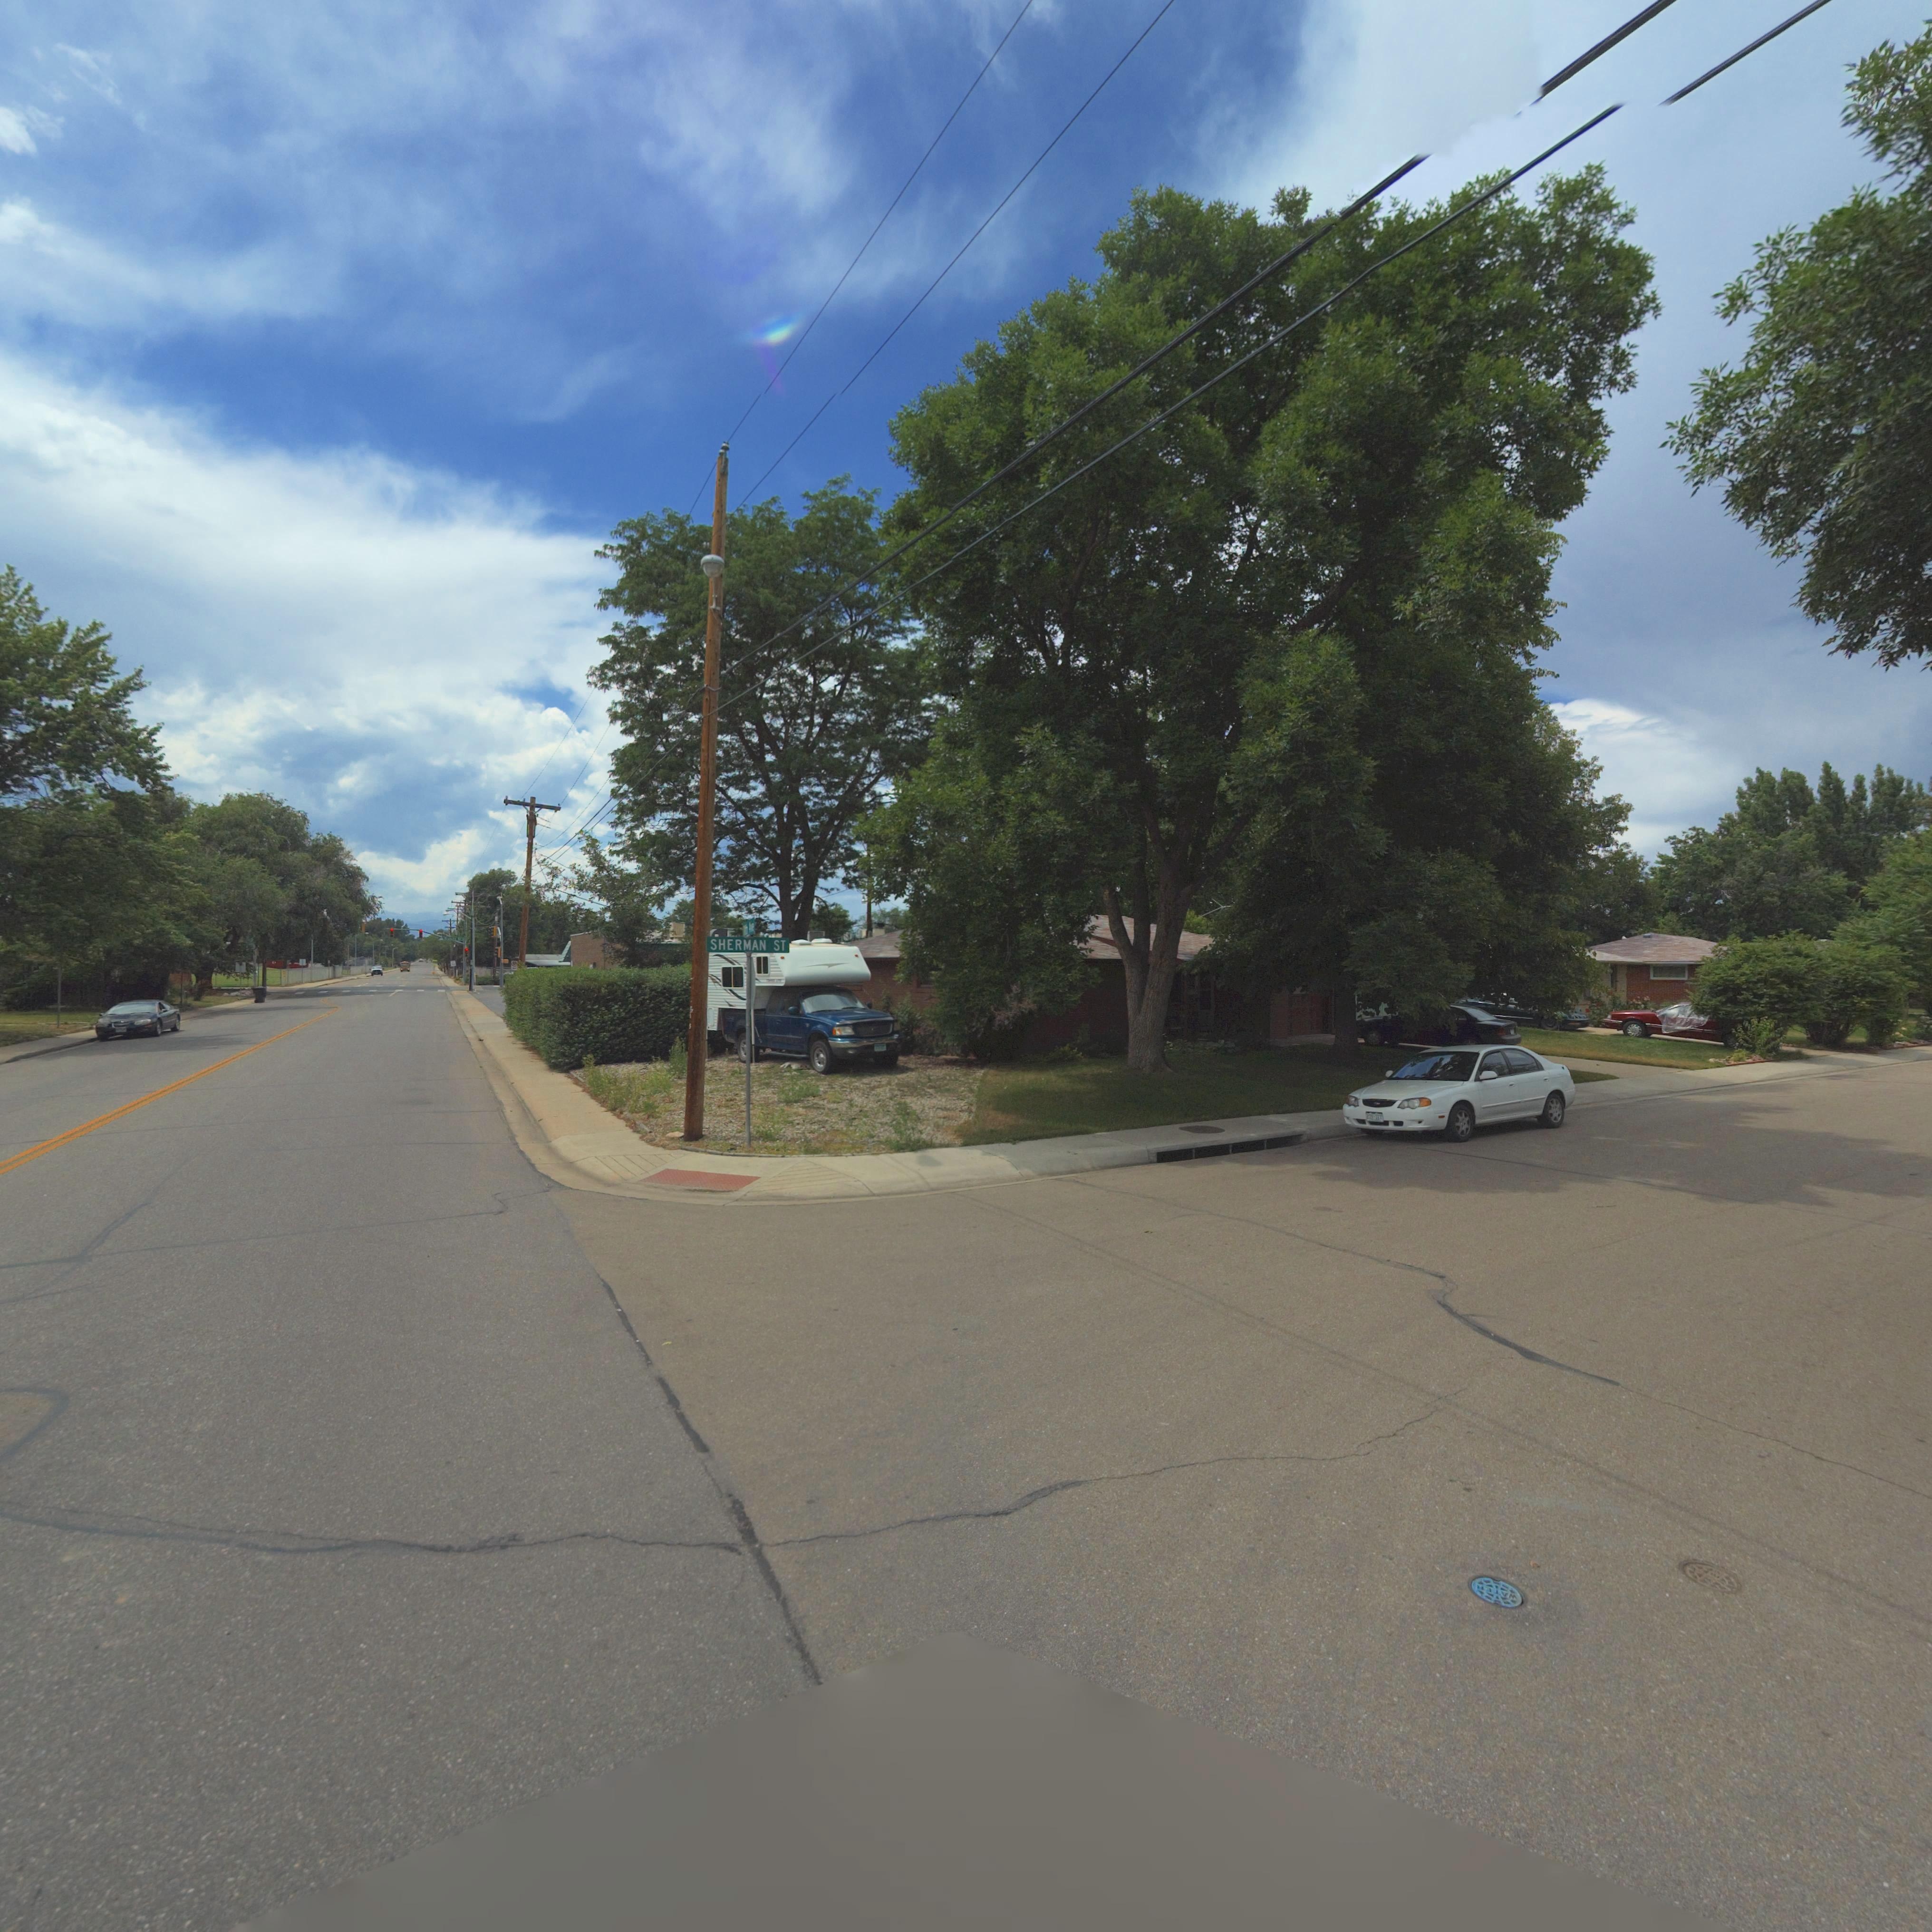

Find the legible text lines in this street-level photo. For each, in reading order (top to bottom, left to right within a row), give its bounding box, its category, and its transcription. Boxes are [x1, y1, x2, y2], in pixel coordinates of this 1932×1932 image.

[742, 921, 754, 937] StreetName: 1**h A*e
[444, 937, 461, 940] StreetName: ******** S*
[710, 938, 787, 951] StreetName: SHERMAN ST